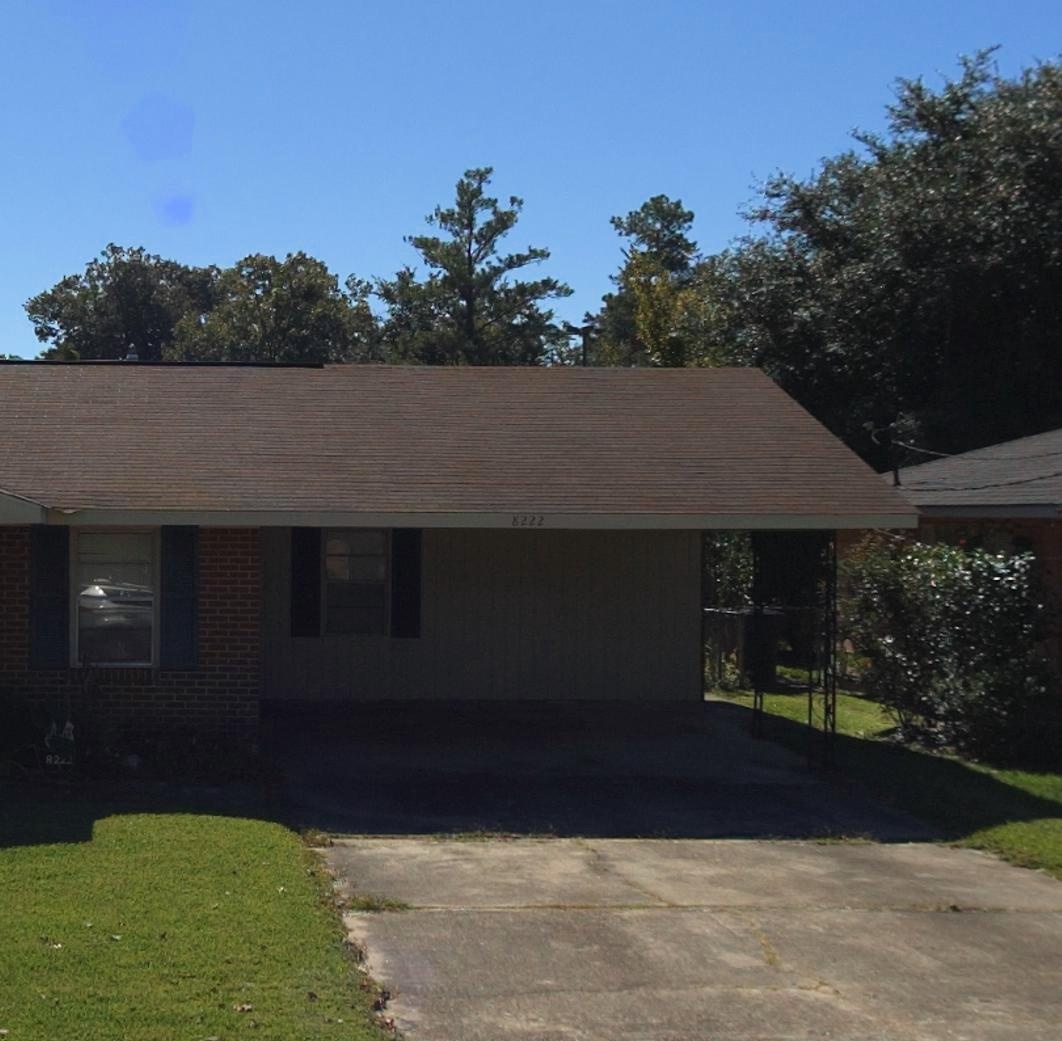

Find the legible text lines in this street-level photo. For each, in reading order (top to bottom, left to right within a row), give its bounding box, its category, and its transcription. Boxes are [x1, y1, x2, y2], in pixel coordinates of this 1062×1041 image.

[509, 514, 547, 529] StreetNumber: 8222
[43, 751, 76, 768] StreetNumber: 82**